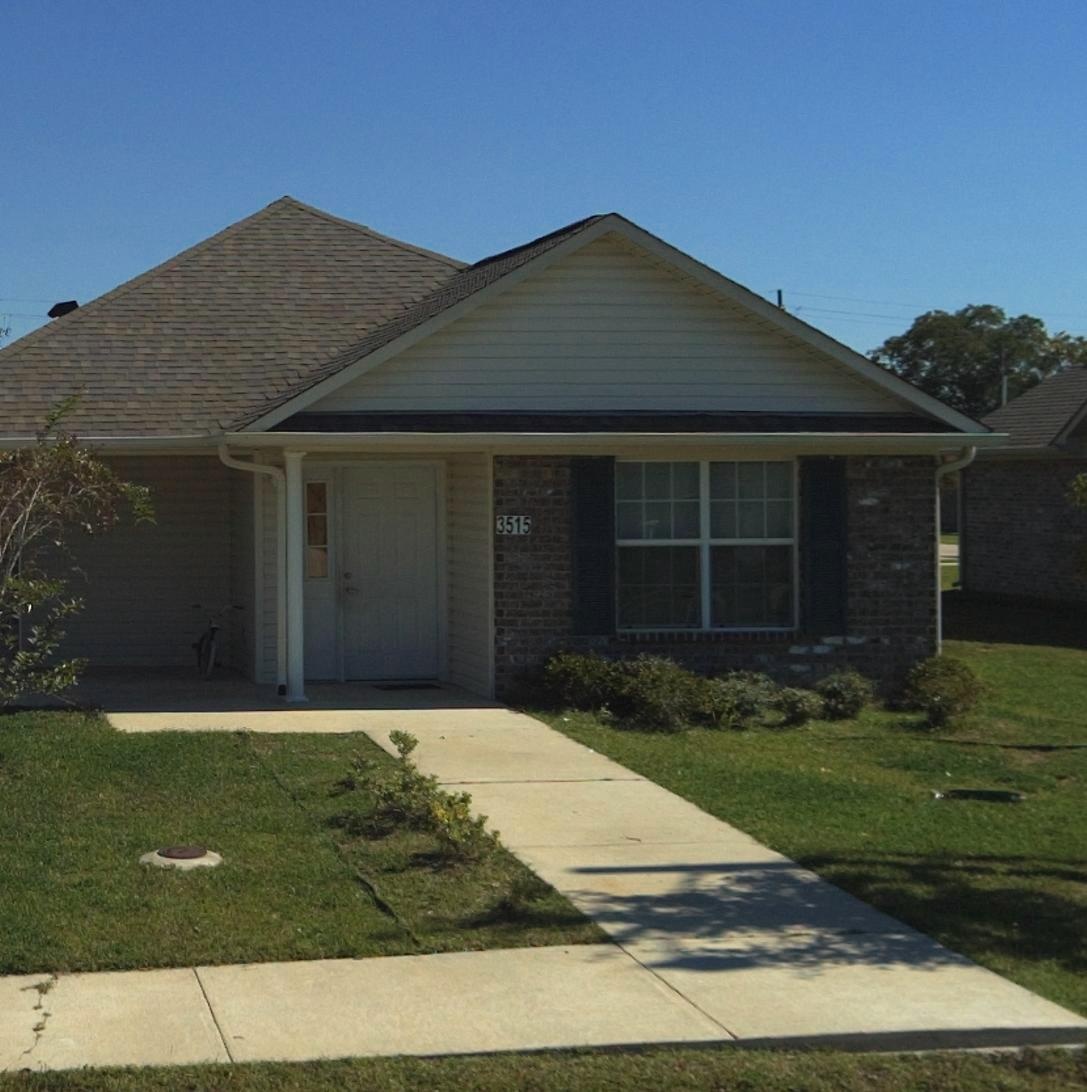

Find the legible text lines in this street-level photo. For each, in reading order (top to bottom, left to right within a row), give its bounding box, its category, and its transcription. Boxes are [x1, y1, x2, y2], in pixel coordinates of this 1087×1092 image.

[497, 516, 532, 534] StreetNumber: 3515